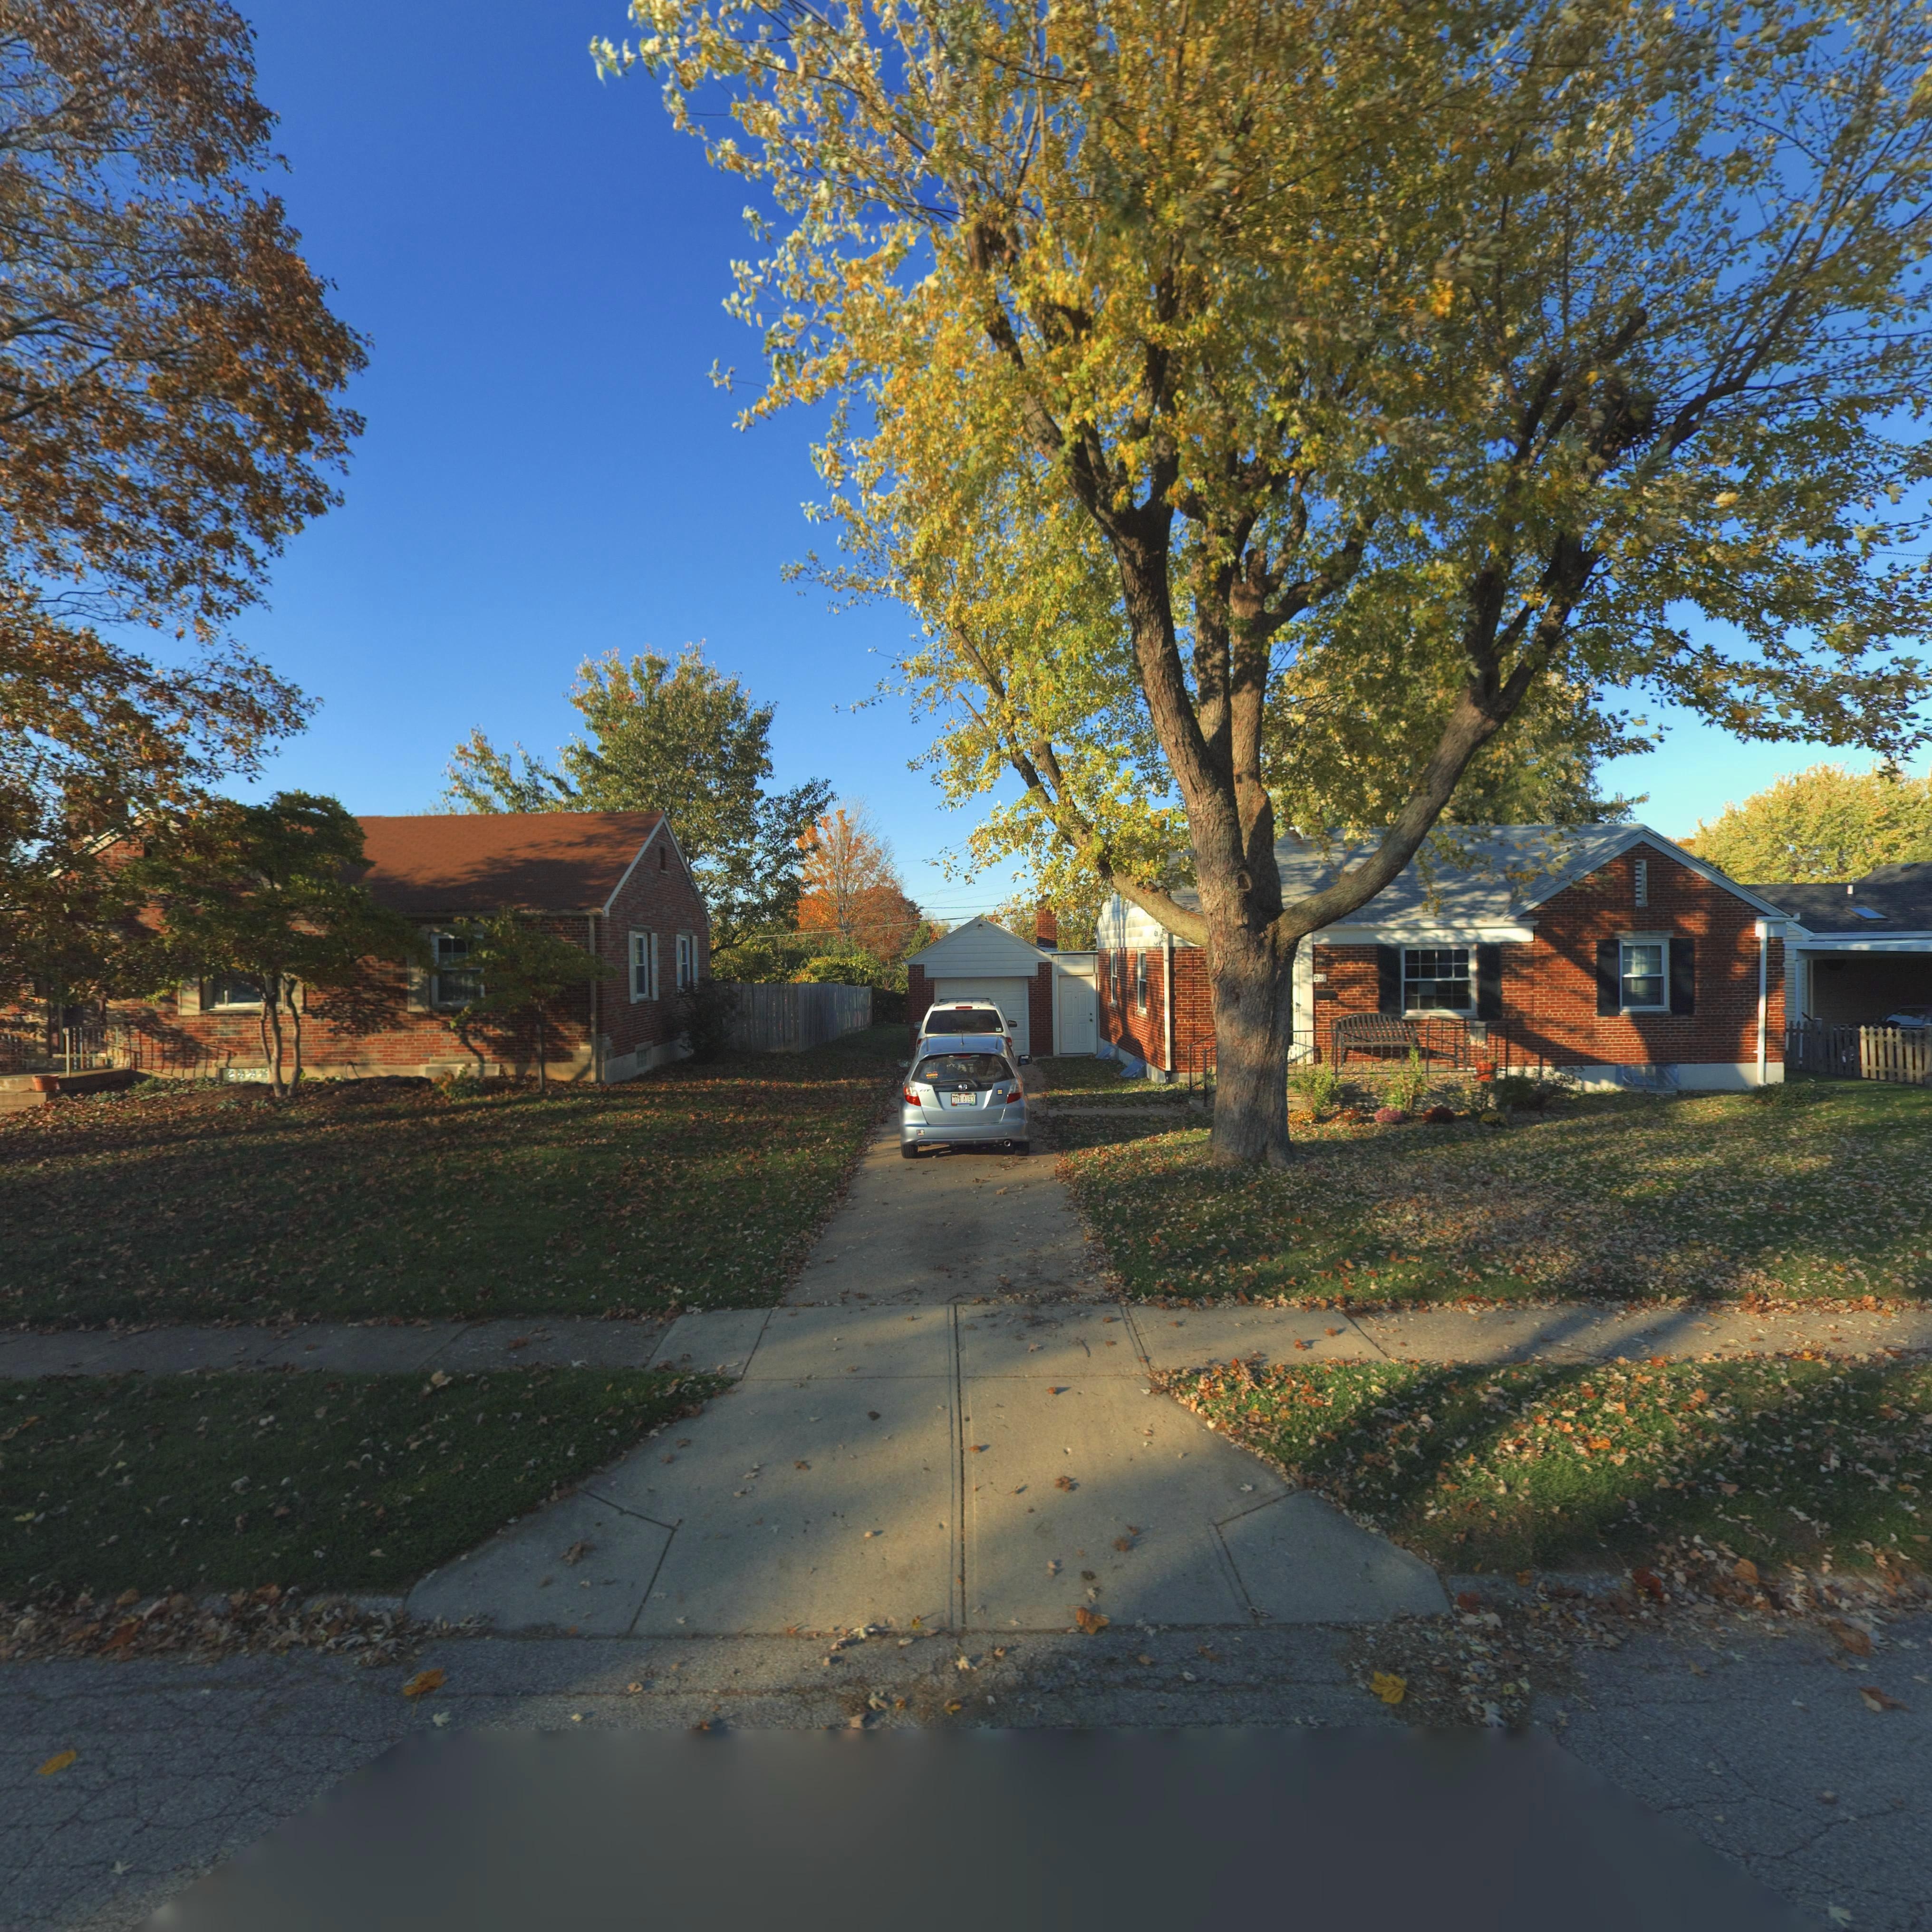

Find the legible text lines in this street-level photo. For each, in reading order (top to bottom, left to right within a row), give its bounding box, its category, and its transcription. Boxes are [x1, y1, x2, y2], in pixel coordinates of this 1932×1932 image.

[1314, 975, 1326, 981] StreetNumber: 209